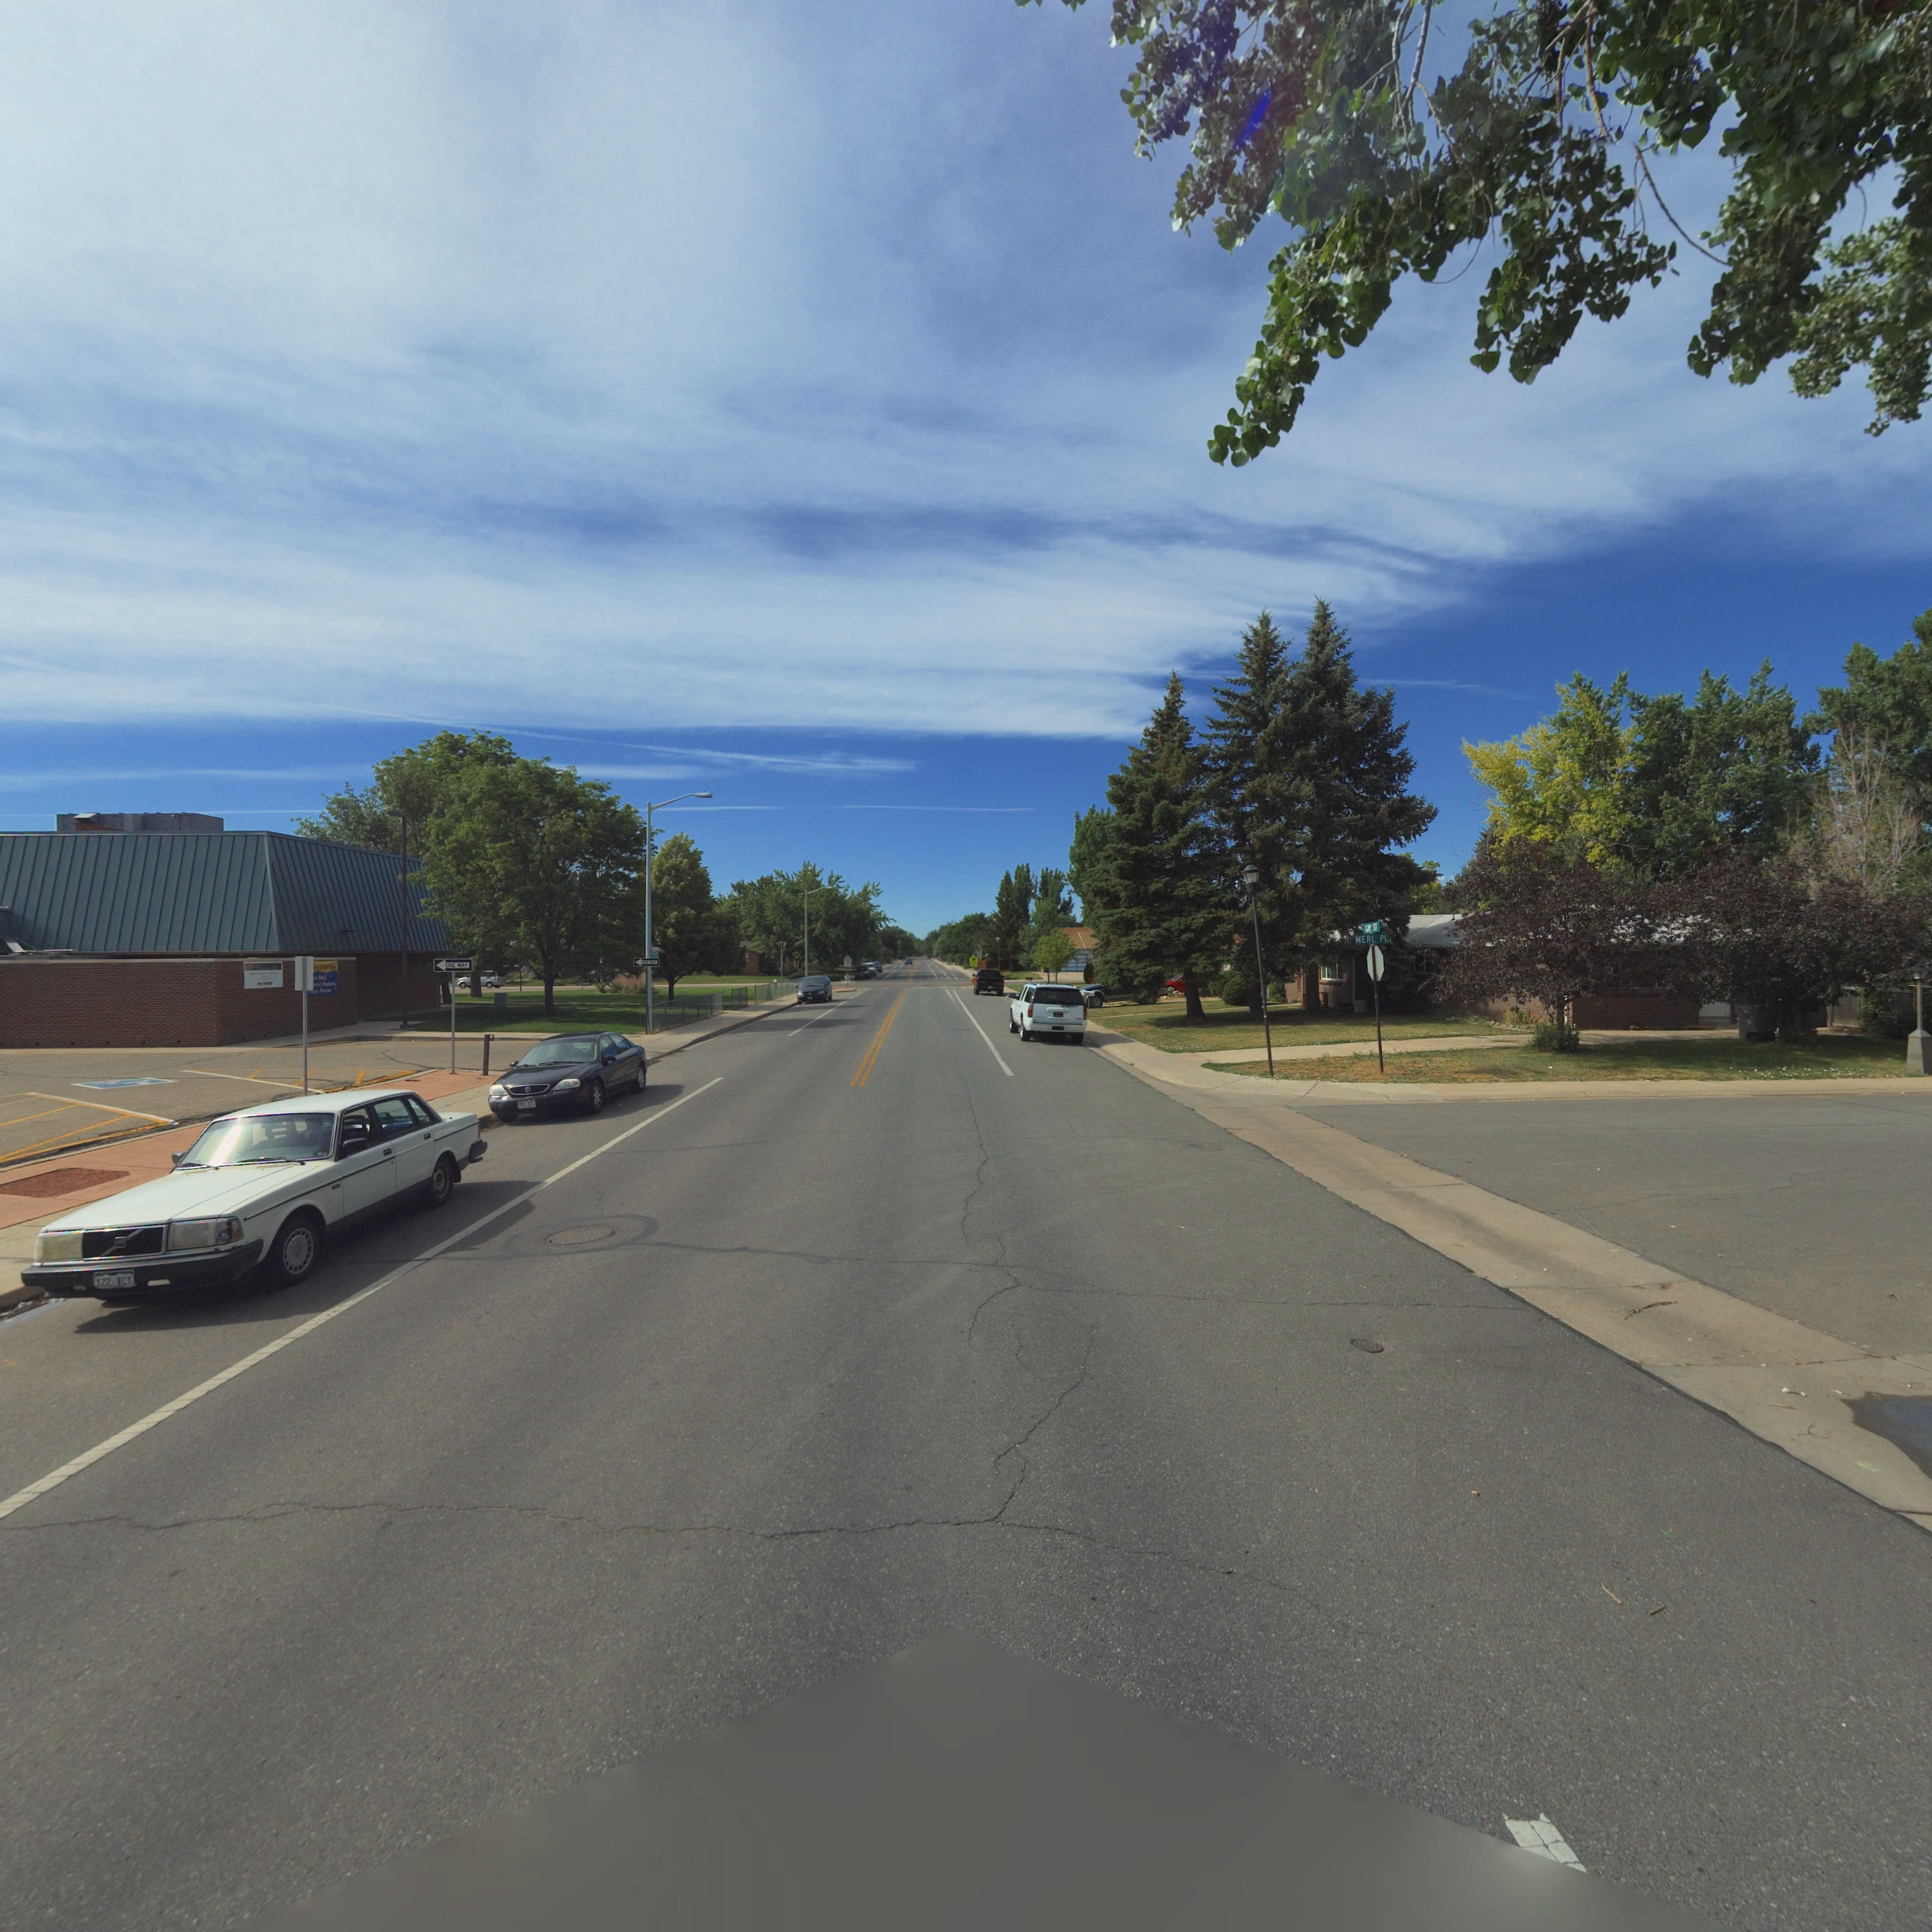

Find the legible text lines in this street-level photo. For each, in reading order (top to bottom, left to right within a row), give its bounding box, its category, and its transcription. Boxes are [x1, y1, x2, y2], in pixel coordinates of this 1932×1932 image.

[1364, 922, 1378, 933] StreetName: GAY ST
[1355, 934, 1389, 944] StreetName: MERL PL